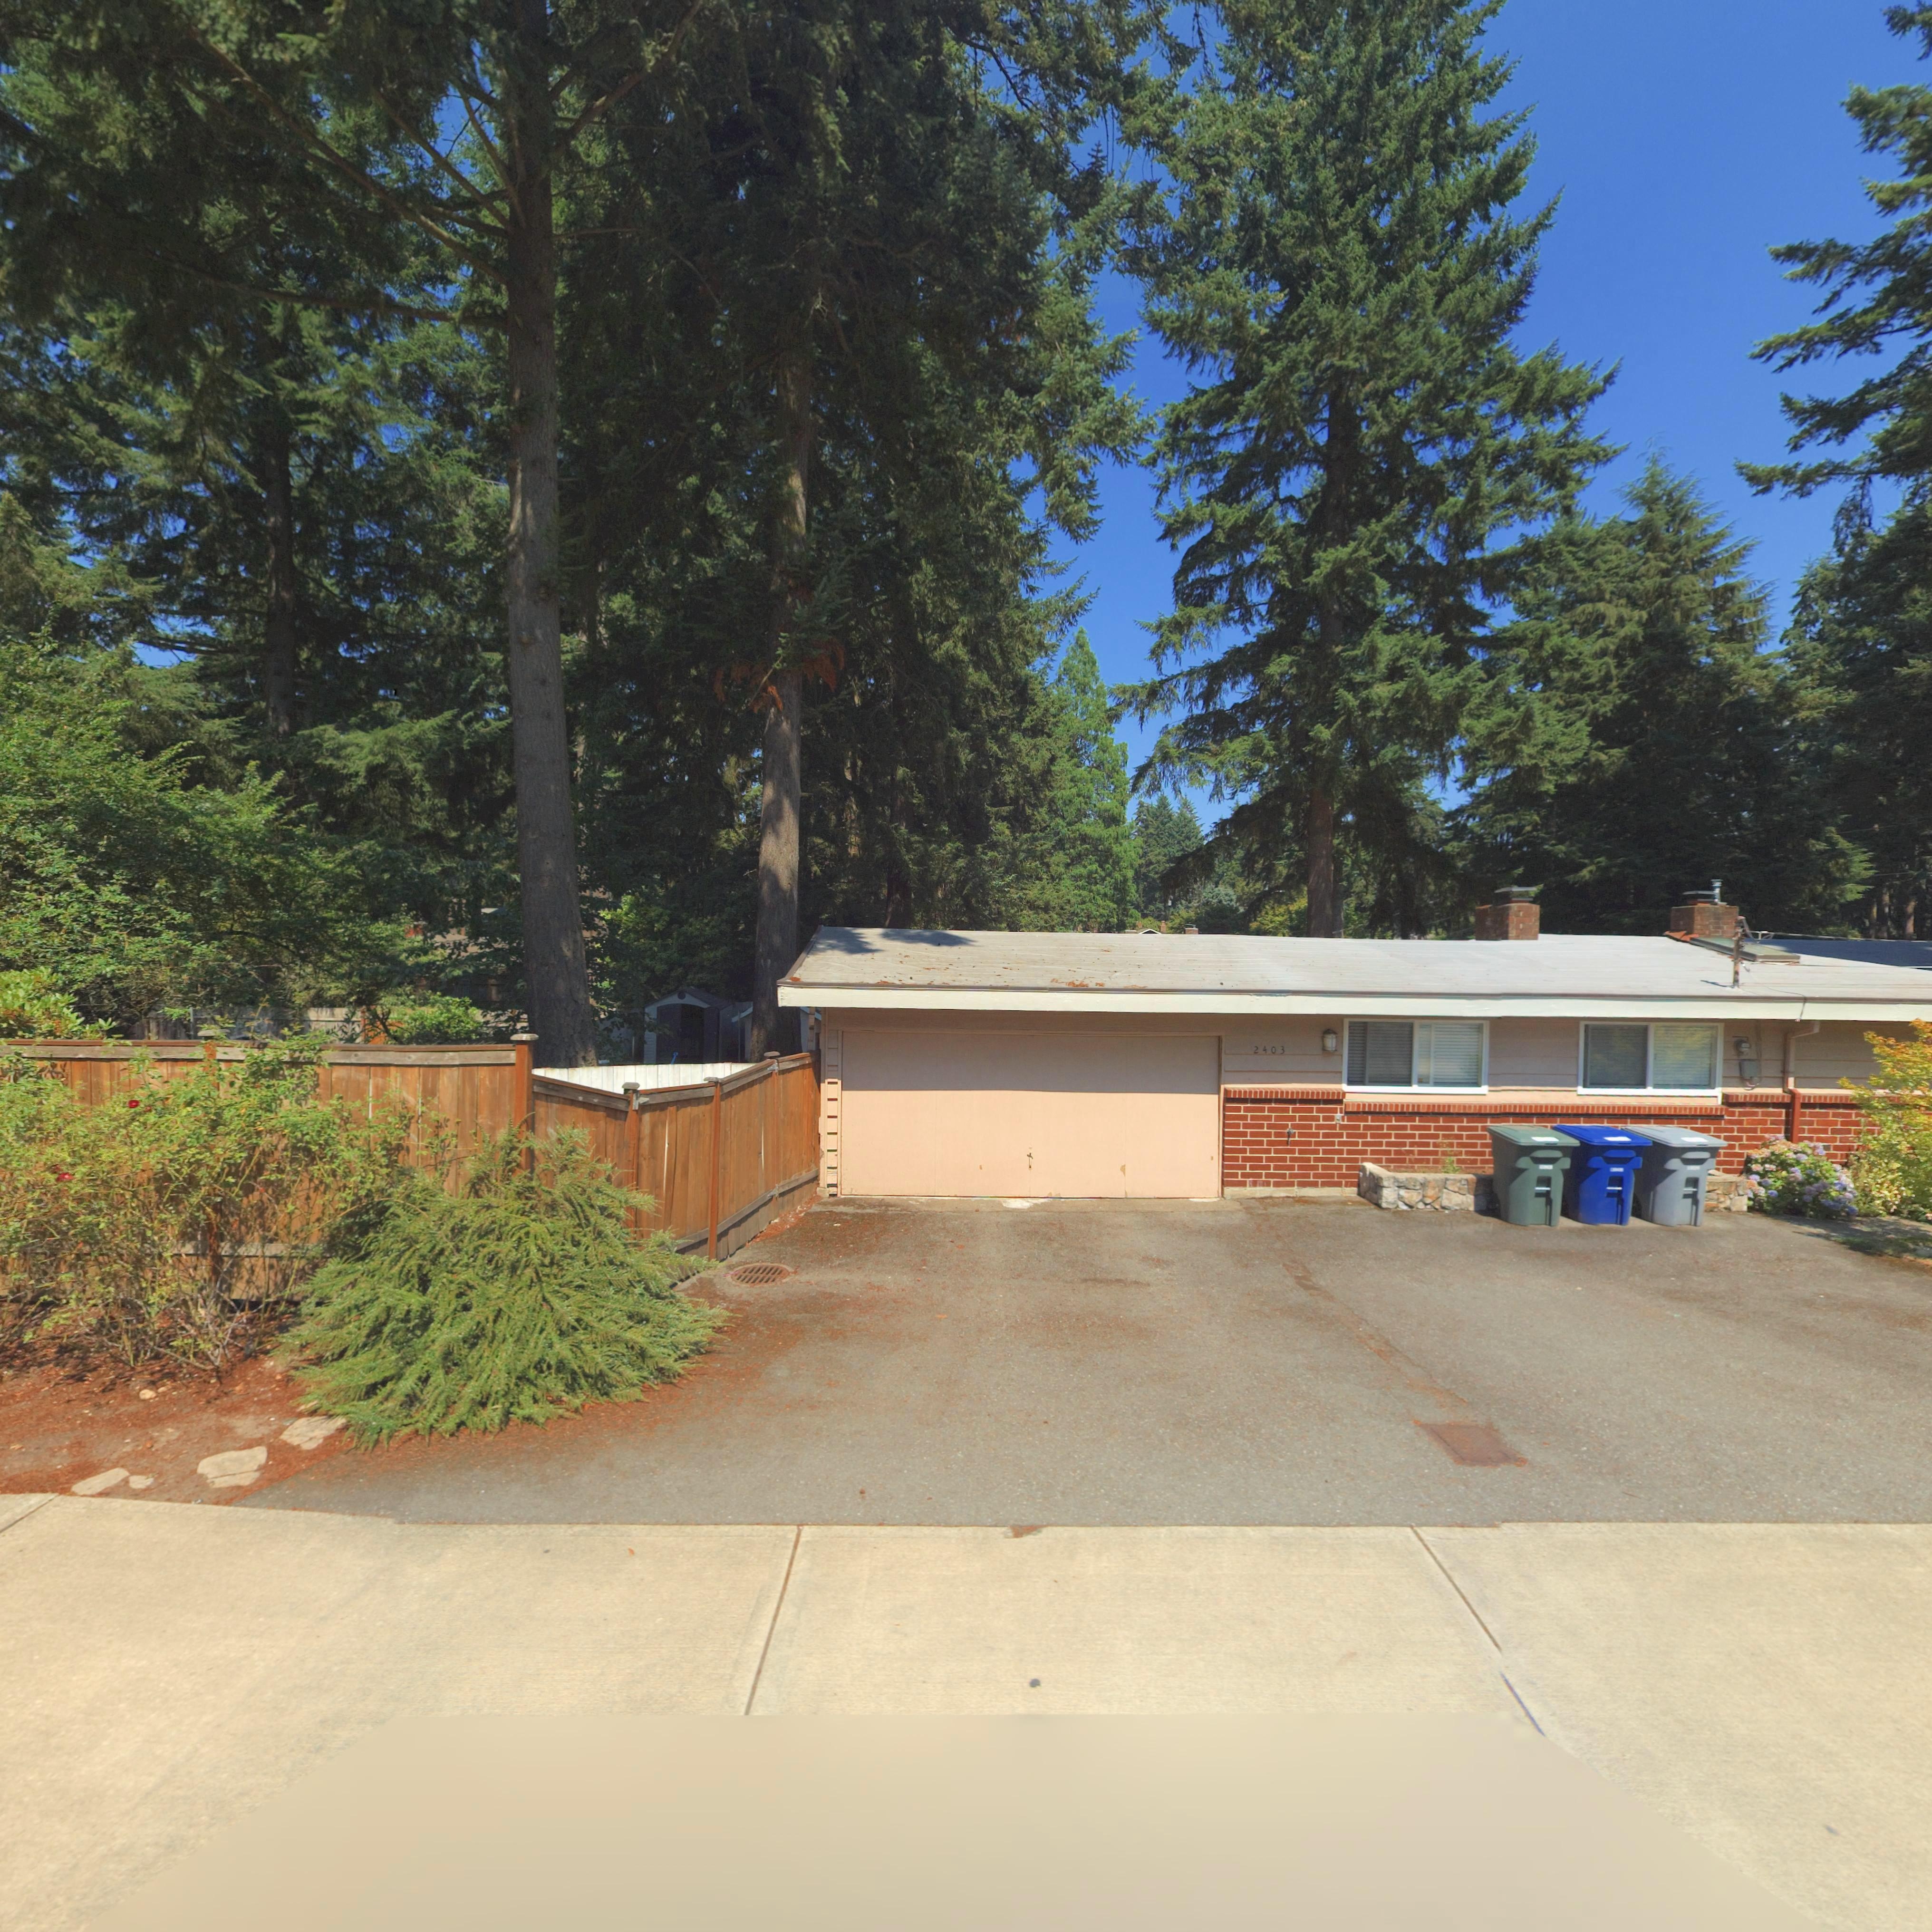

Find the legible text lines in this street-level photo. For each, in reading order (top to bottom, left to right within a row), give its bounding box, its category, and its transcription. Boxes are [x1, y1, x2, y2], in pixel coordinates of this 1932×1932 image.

[1251, 1042, 1289, 1057] StreetNumber: 2403